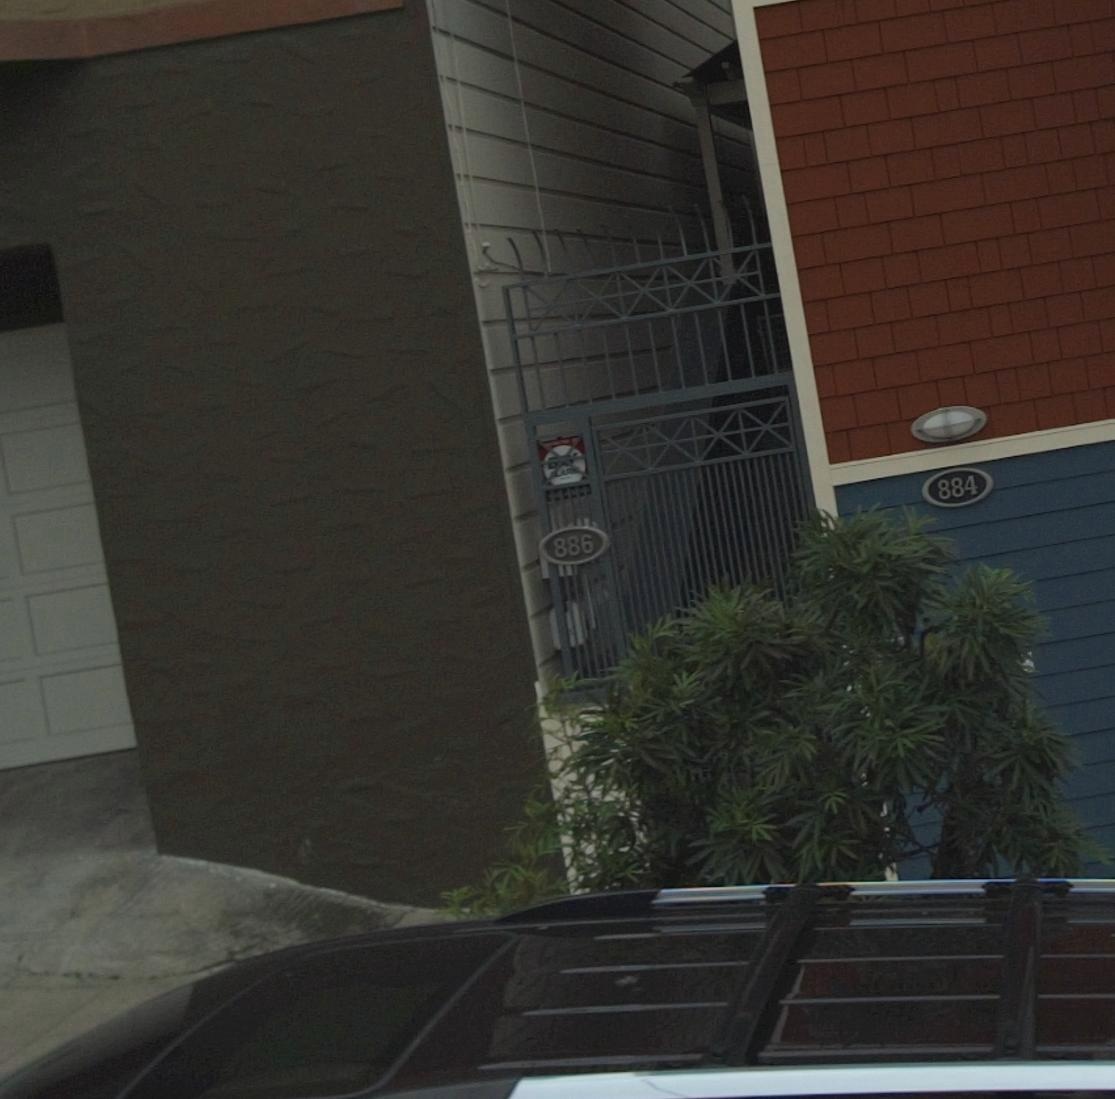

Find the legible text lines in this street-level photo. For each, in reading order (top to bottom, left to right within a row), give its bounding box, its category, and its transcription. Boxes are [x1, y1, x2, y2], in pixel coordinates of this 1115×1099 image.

[935, 472, 981, 501] StreetNumber: 884
[552, 531, 597, 560] StreetNumber: 886